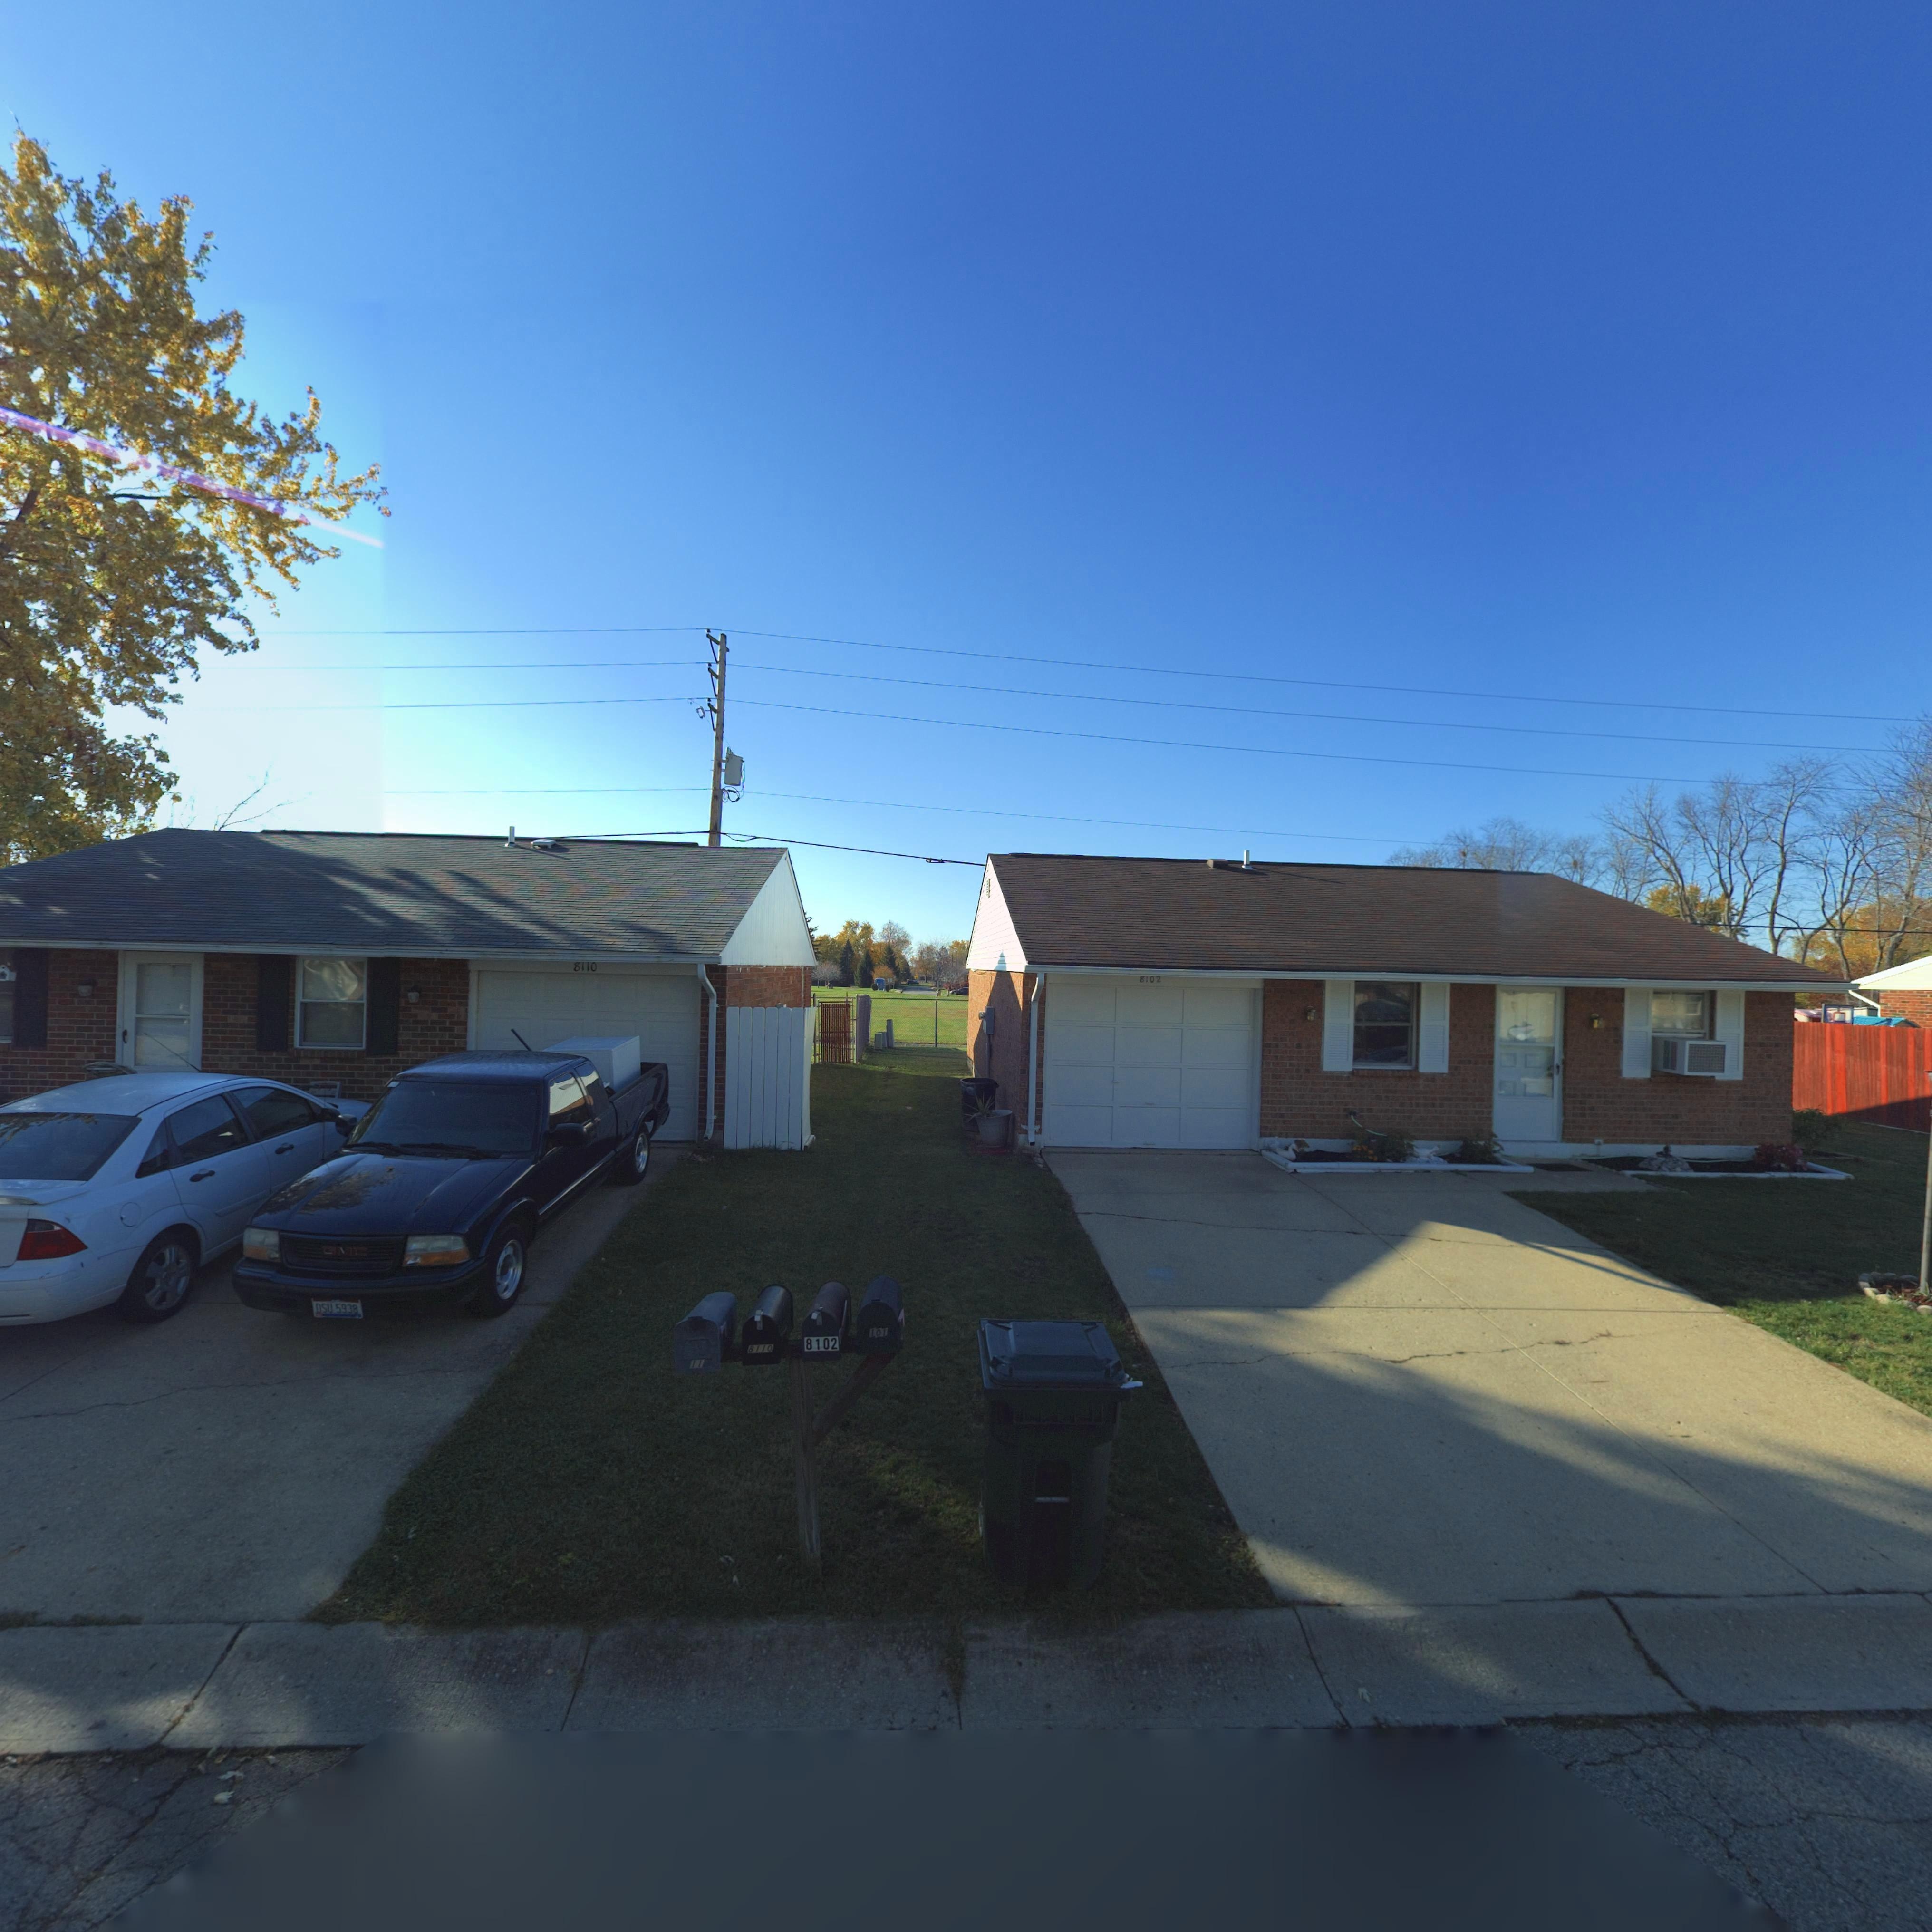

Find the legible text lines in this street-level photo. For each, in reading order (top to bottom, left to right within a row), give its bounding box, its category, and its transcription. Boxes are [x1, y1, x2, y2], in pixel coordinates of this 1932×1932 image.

[573, 961, 599, 973] StreetNumber: 8110
[1139, 975, 1162, 984] StreetNumber: 8102
[869, 1327, 887, 1338] StreetNumber: 101
[747, 1344, 773, 1353] StreetNumber: 8110
[804, 1336, 839, 1352] StreetNumber: 8102
[690, 1359, 704, 1369] StreetNumber: 11